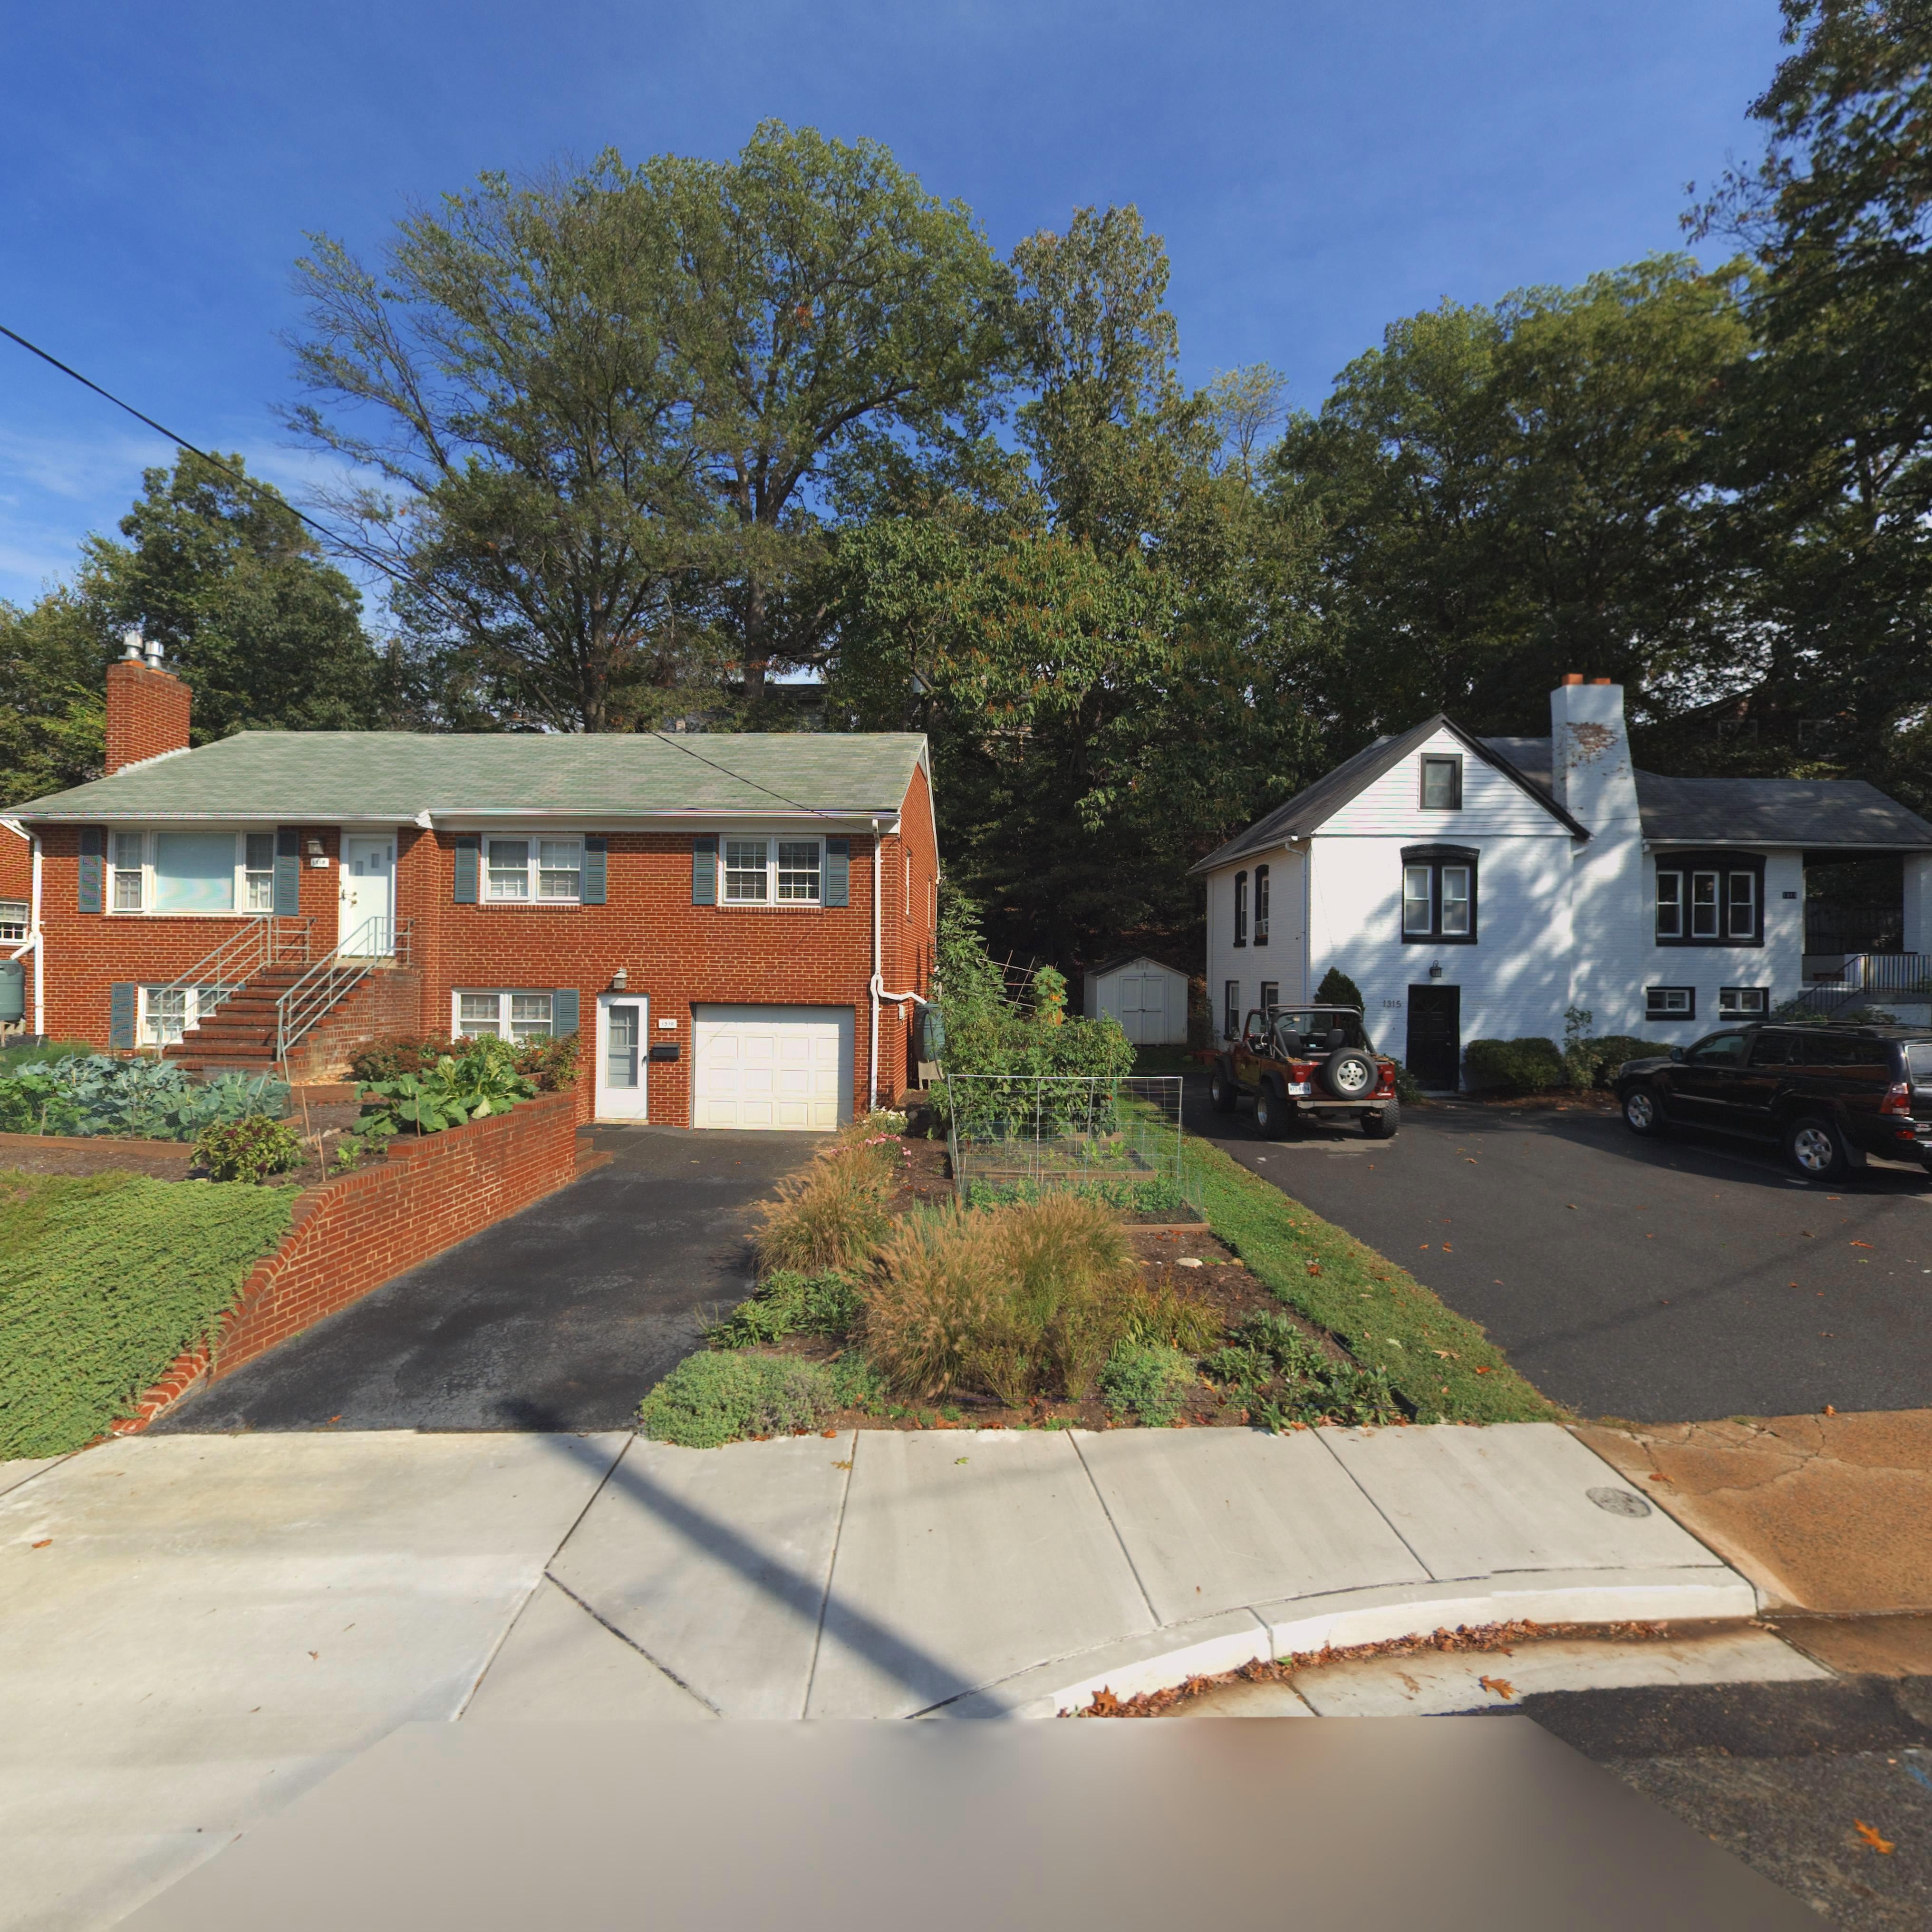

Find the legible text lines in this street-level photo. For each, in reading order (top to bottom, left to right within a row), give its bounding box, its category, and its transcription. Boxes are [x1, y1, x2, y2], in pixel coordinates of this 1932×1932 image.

[312, 860, 326, 866] StreetNumber: 1*19
[1782, 892, 1797, 898] StreetNumber: 1*1*
[1382, 999, 1402, 1009] StreetNumber: 1315
[661, 1022, 675, 1027] StreetNumber: 1319
[1298, 1086, 1310, 1092] None: 8194